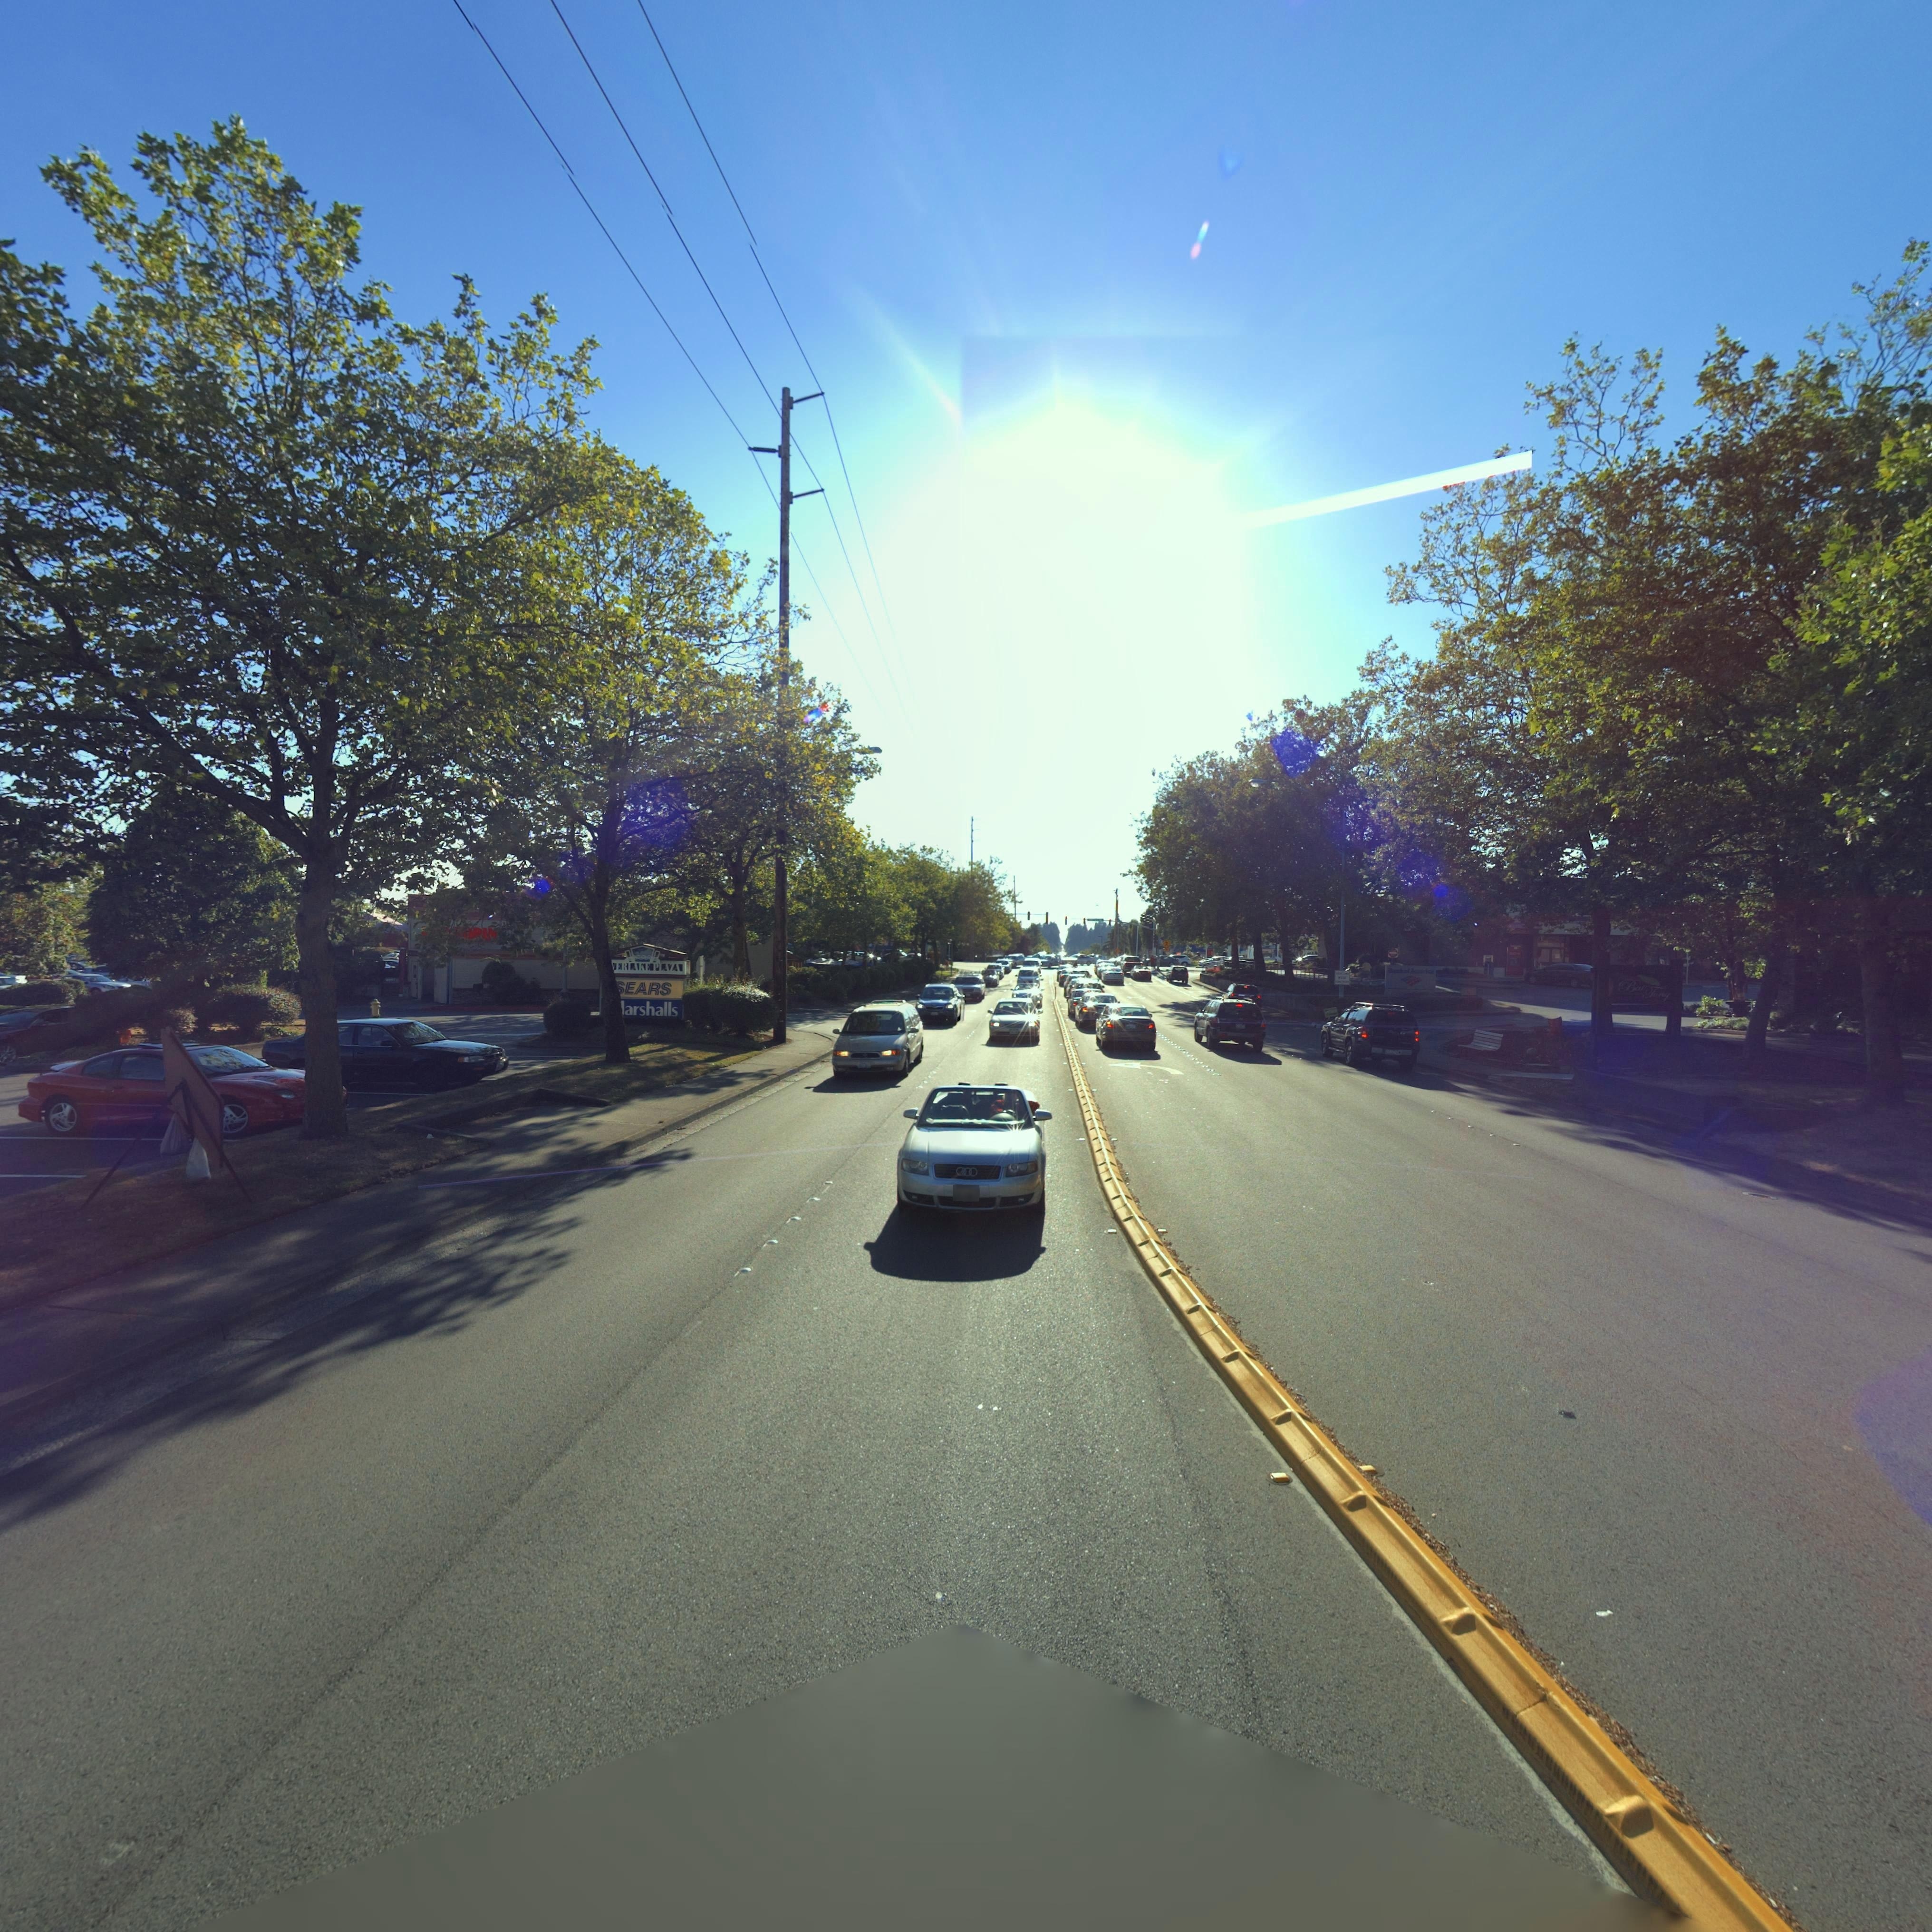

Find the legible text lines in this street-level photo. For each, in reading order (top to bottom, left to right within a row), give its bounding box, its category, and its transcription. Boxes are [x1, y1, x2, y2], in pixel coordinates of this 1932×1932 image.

[1386, 966, 1435, 975] BusinessName: Bank of America
[613, 978, 676, 998] BusinessName: *EARS
[1616, 977, 1674, 1005] BusinessName: Bar Tony
[623, 998, 680, 1020] BusinessName: arshalls